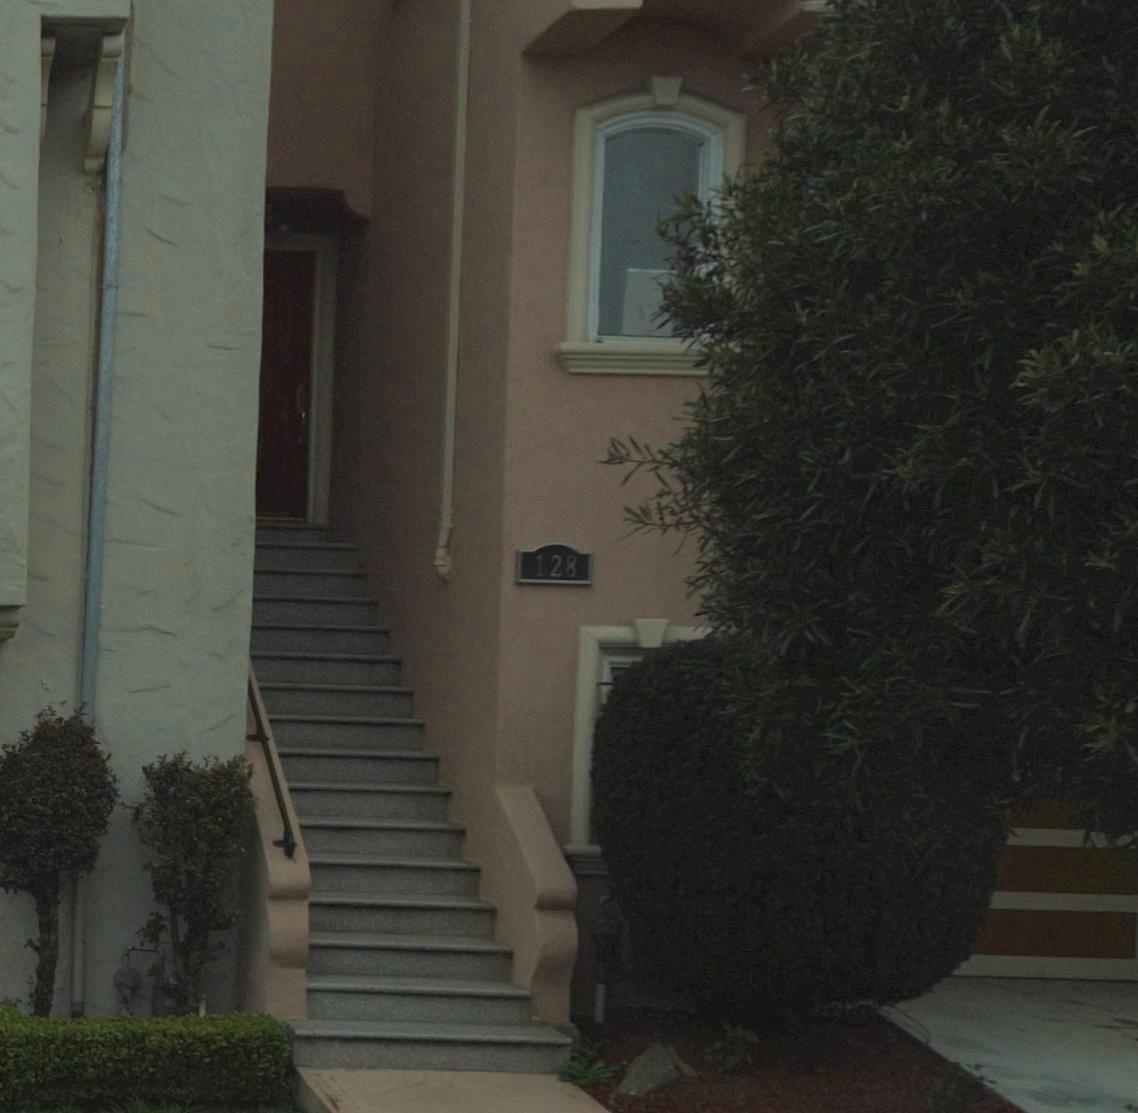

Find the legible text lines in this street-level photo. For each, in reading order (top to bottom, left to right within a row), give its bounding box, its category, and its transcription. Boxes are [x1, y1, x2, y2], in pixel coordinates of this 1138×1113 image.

[534, 553, 579, 579] StreetNumber: 128